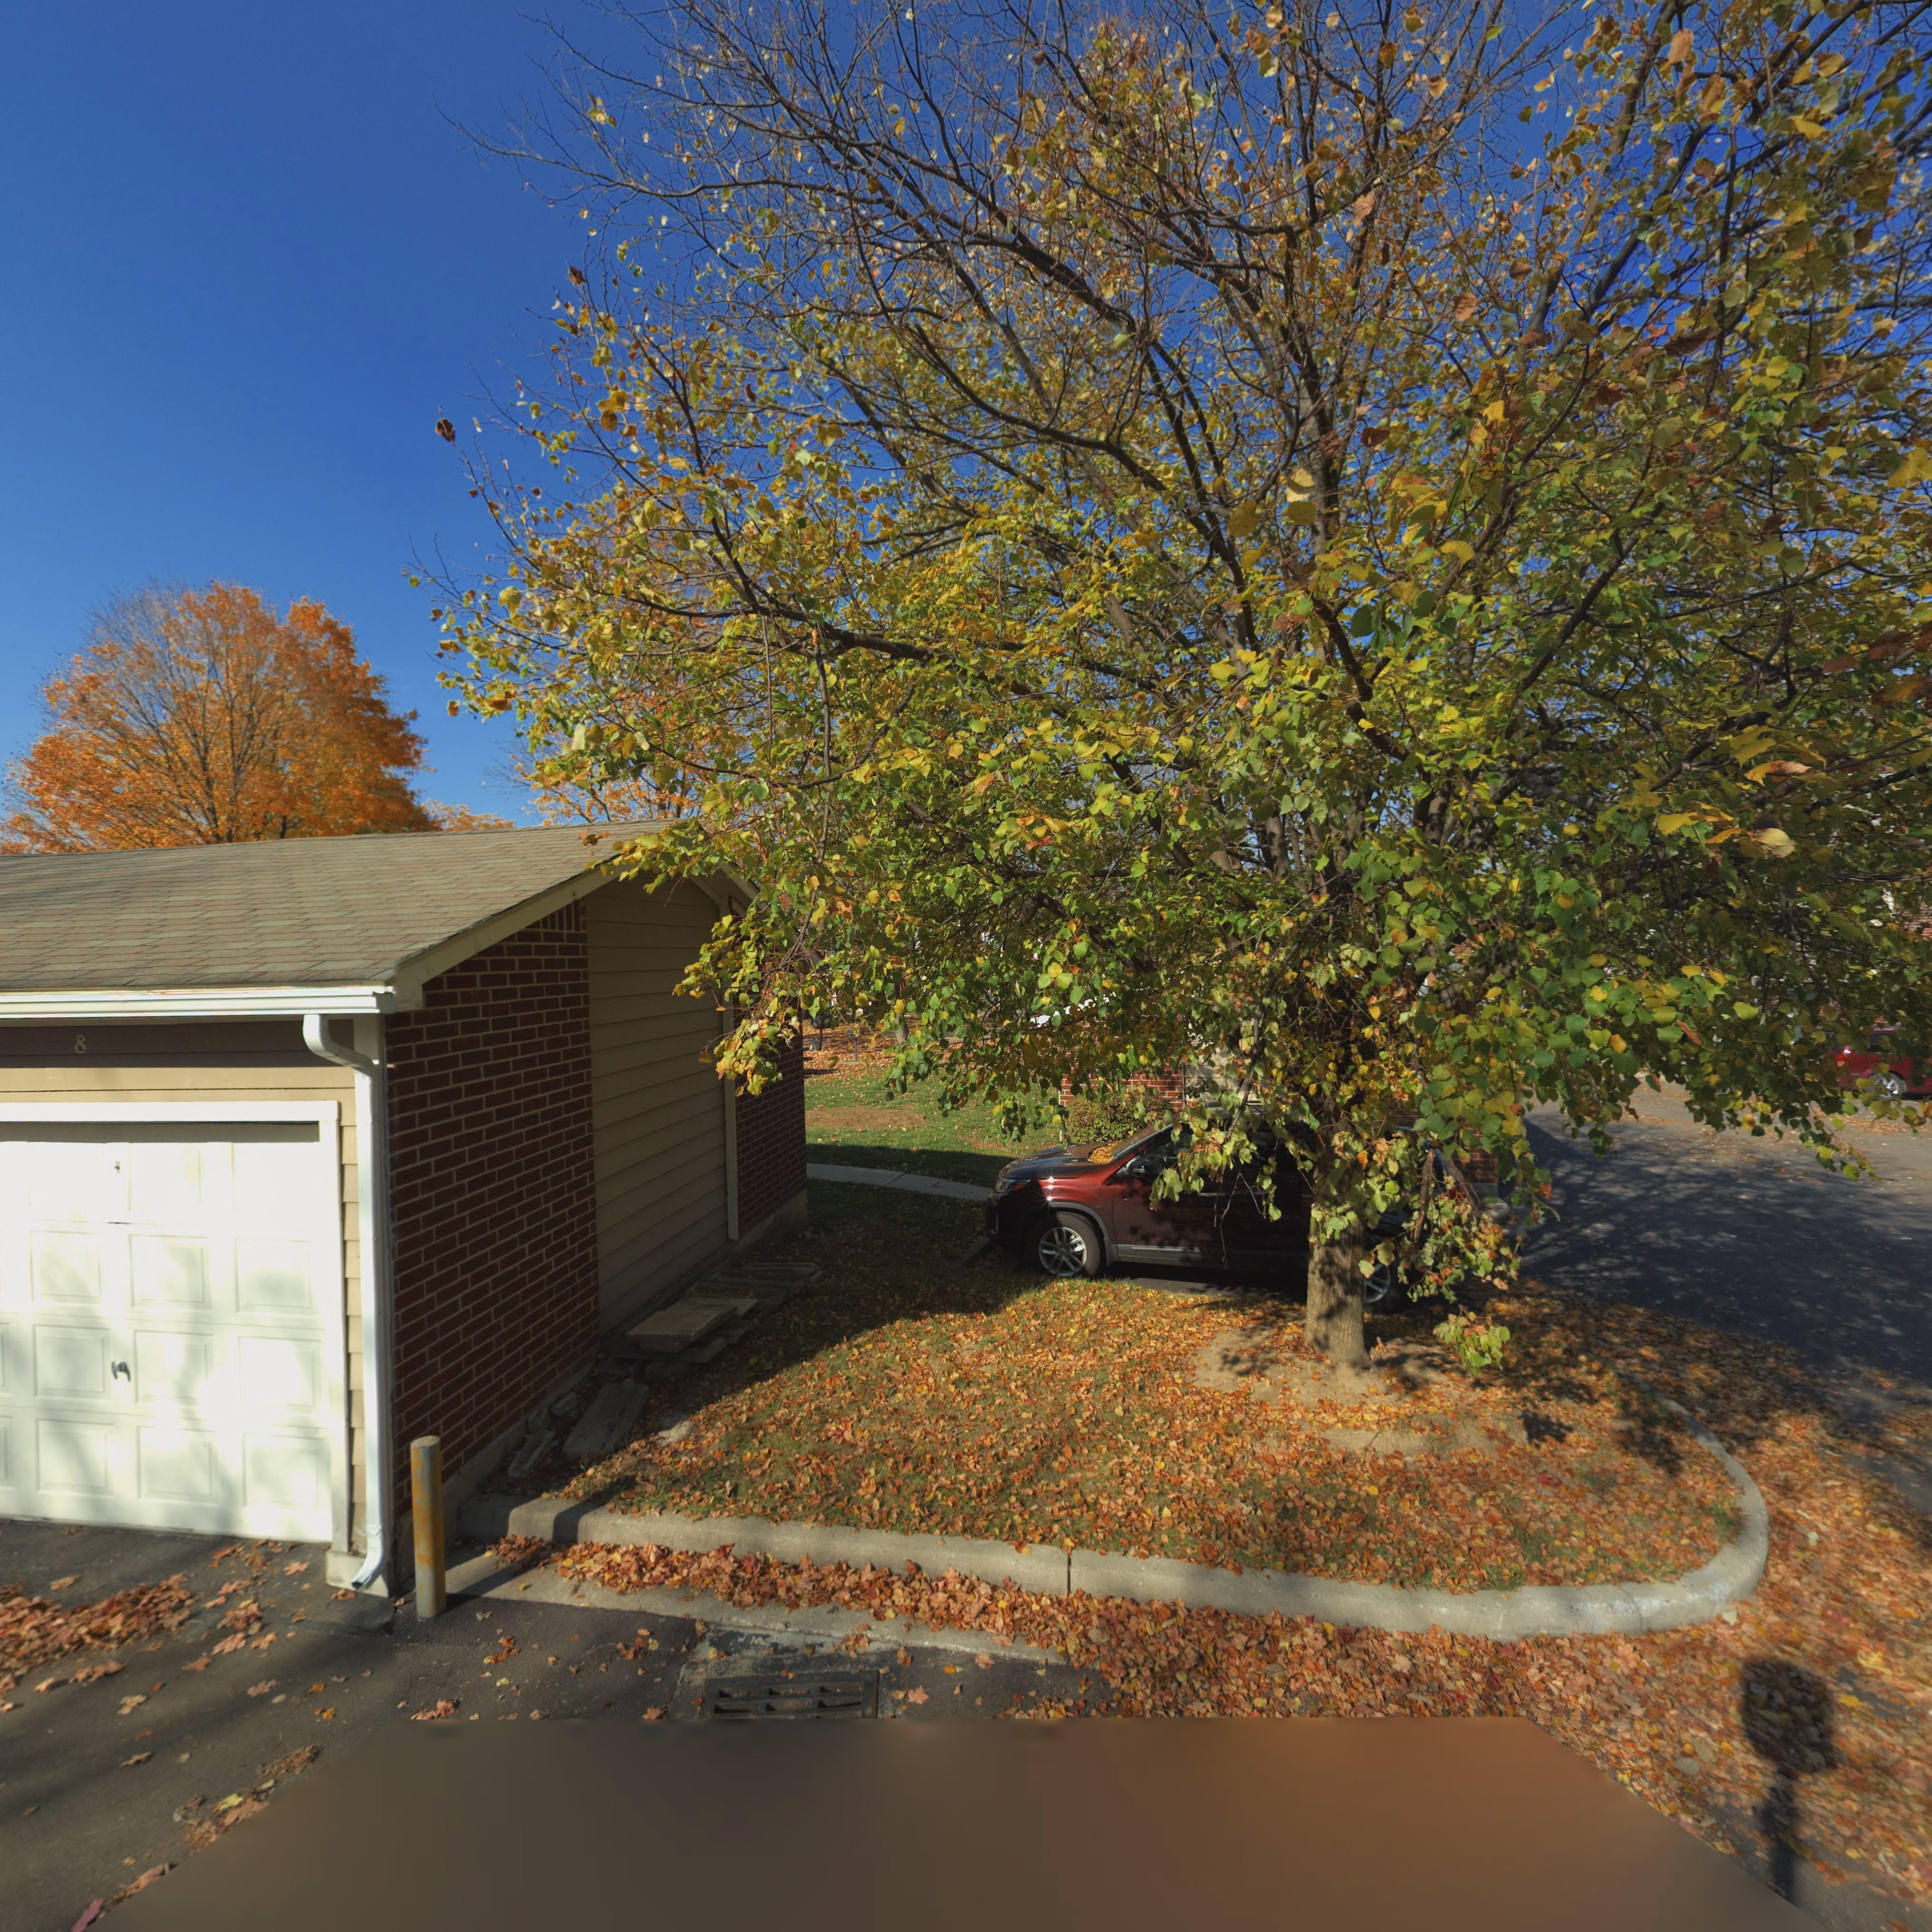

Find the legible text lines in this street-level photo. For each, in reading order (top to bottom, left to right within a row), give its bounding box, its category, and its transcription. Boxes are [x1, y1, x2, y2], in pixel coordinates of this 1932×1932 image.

[73, 1034, 88, 1055] StreetNumber: 8